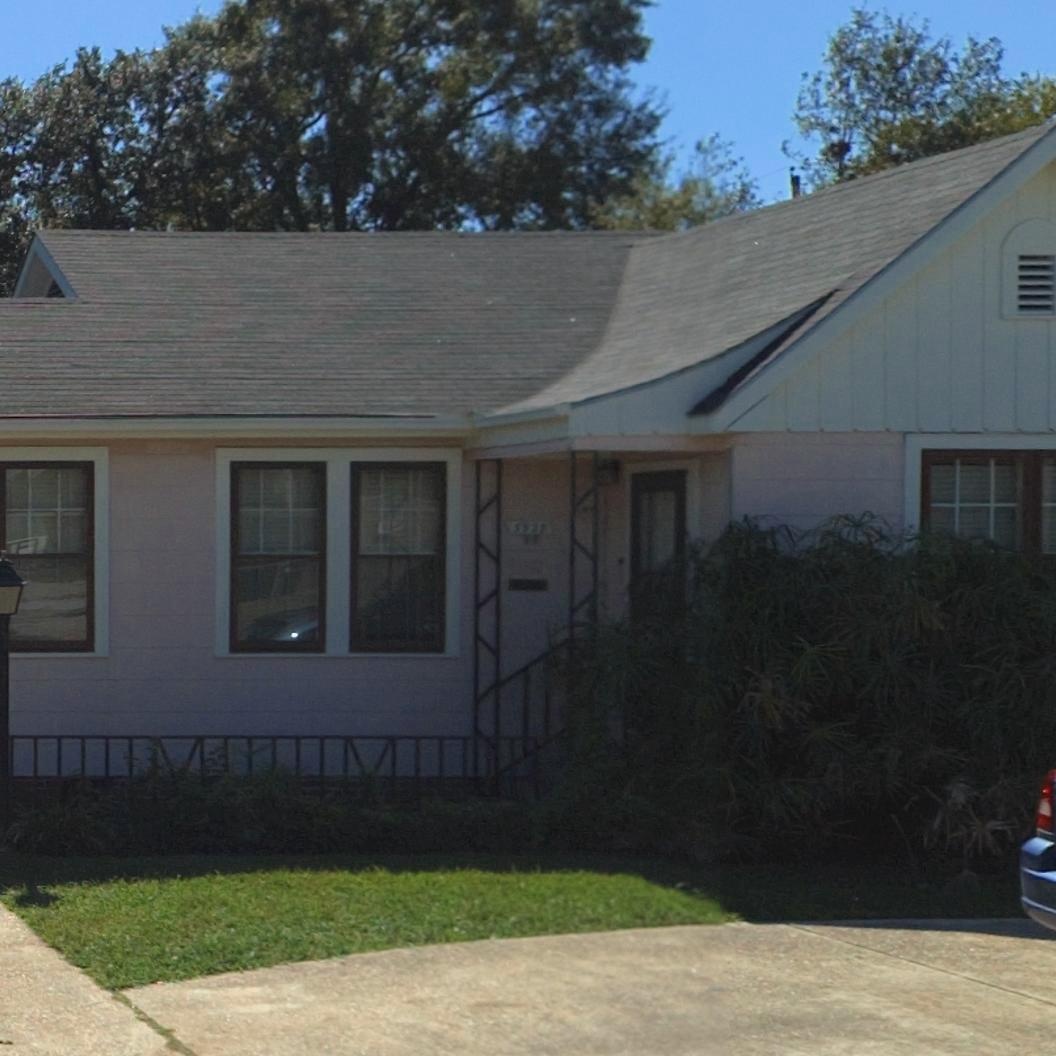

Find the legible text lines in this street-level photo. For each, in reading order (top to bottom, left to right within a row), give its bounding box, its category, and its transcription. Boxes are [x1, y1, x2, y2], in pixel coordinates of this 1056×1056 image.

[512, 522, 547, 535] StreetNumber: 3928